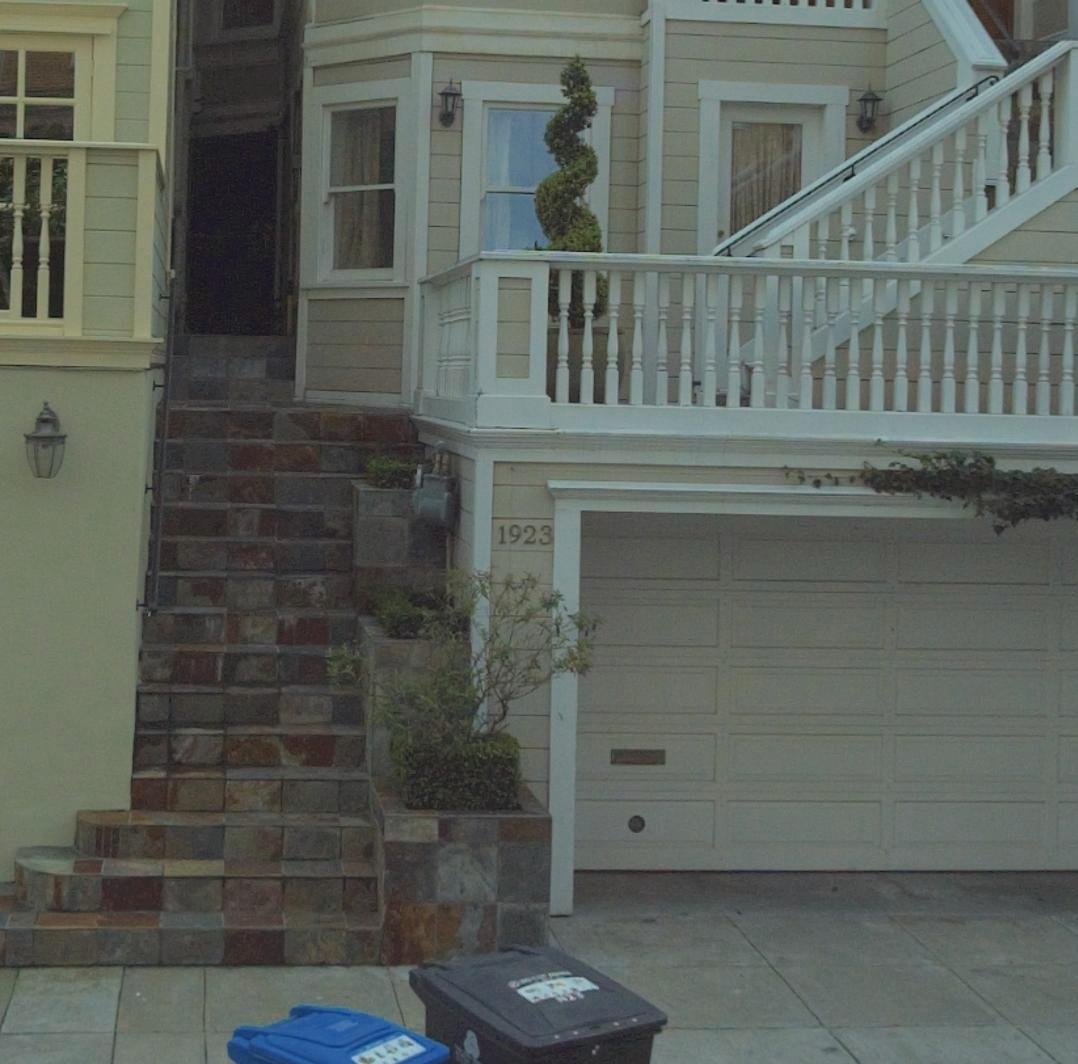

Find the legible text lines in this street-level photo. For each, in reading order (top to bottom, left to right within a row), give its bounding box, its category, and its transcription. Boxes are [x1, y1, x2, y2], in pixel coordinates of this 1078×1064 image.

[496, 522, 556, 547] StreetNumber: 1932